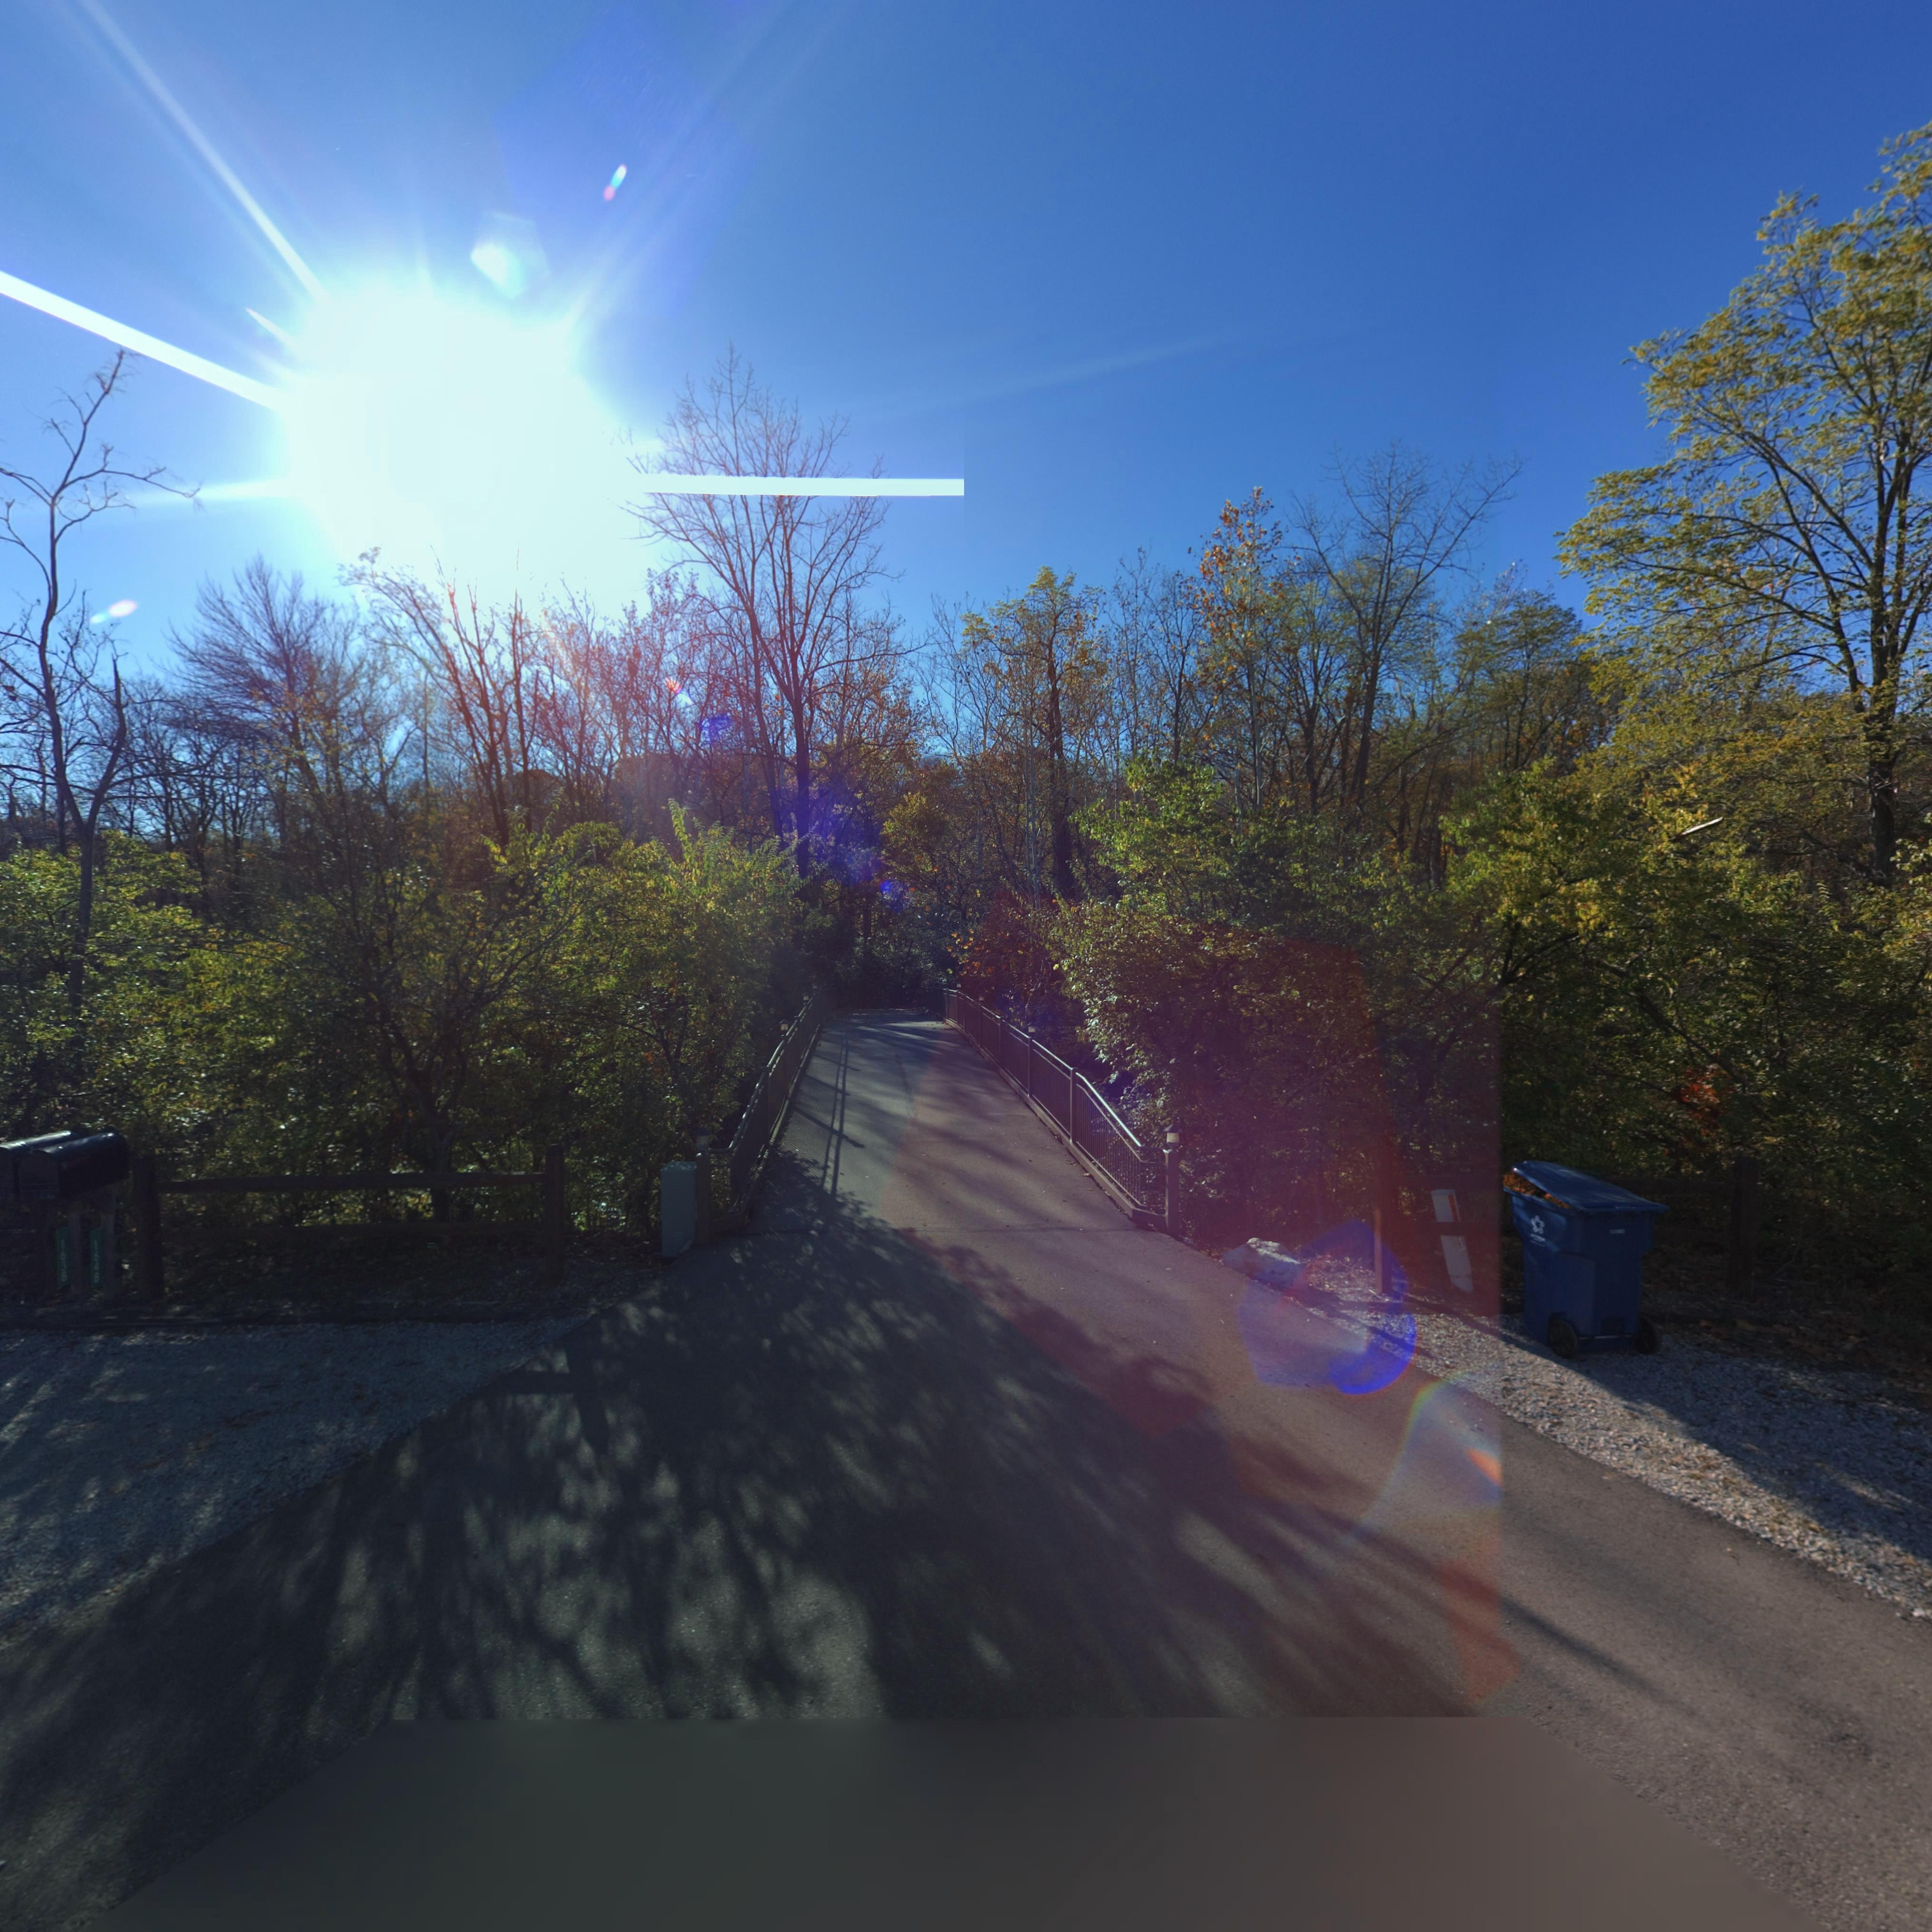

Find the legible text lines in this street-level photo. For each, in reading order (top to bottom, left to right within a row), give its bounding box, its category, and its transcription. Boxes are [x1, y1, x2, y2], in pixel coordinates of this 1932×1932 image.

[58, 1236, 70, 1284] StreetNumber: 1638
[92, 1239, 101, 1285] StreetNumber: 1646